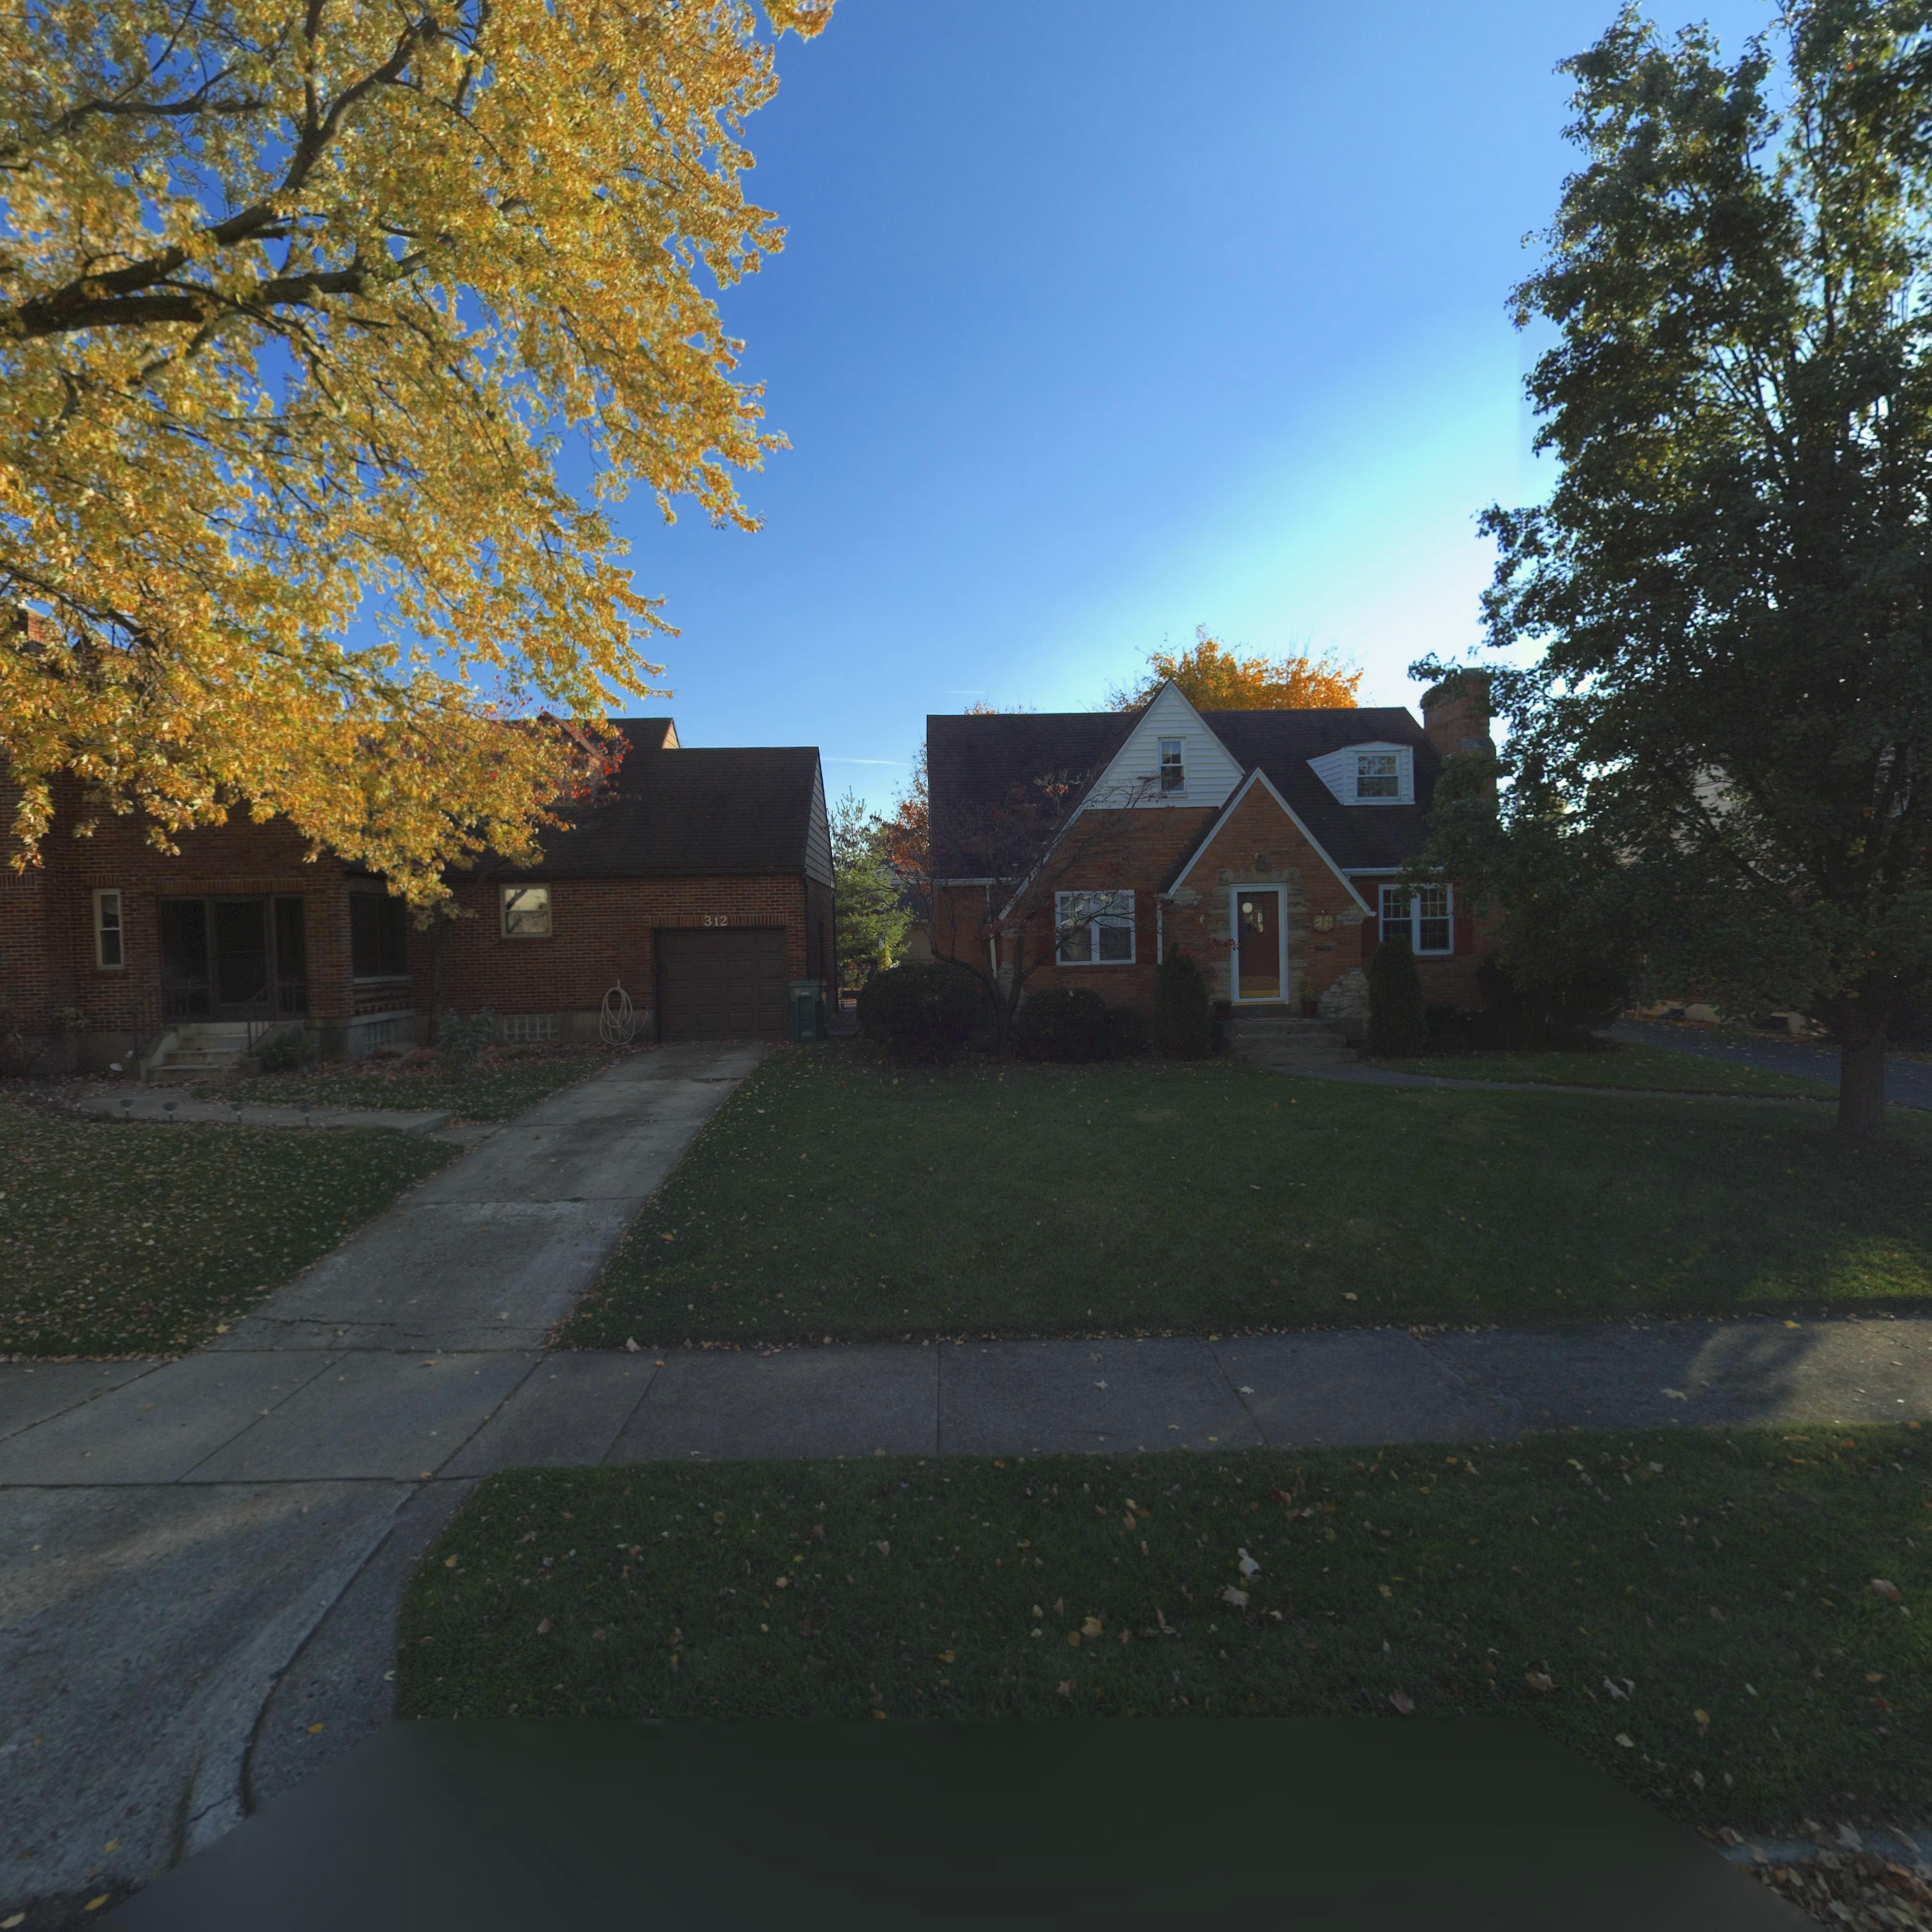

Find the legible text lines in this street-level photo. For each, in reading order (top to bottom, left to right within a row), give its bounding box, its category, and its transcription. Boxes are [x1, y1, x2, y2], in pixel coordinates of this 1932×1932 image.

[703, 914, 728, 927] StreetNumber: 312
[1314, 916, 1333, 929] StreetNumber: 308